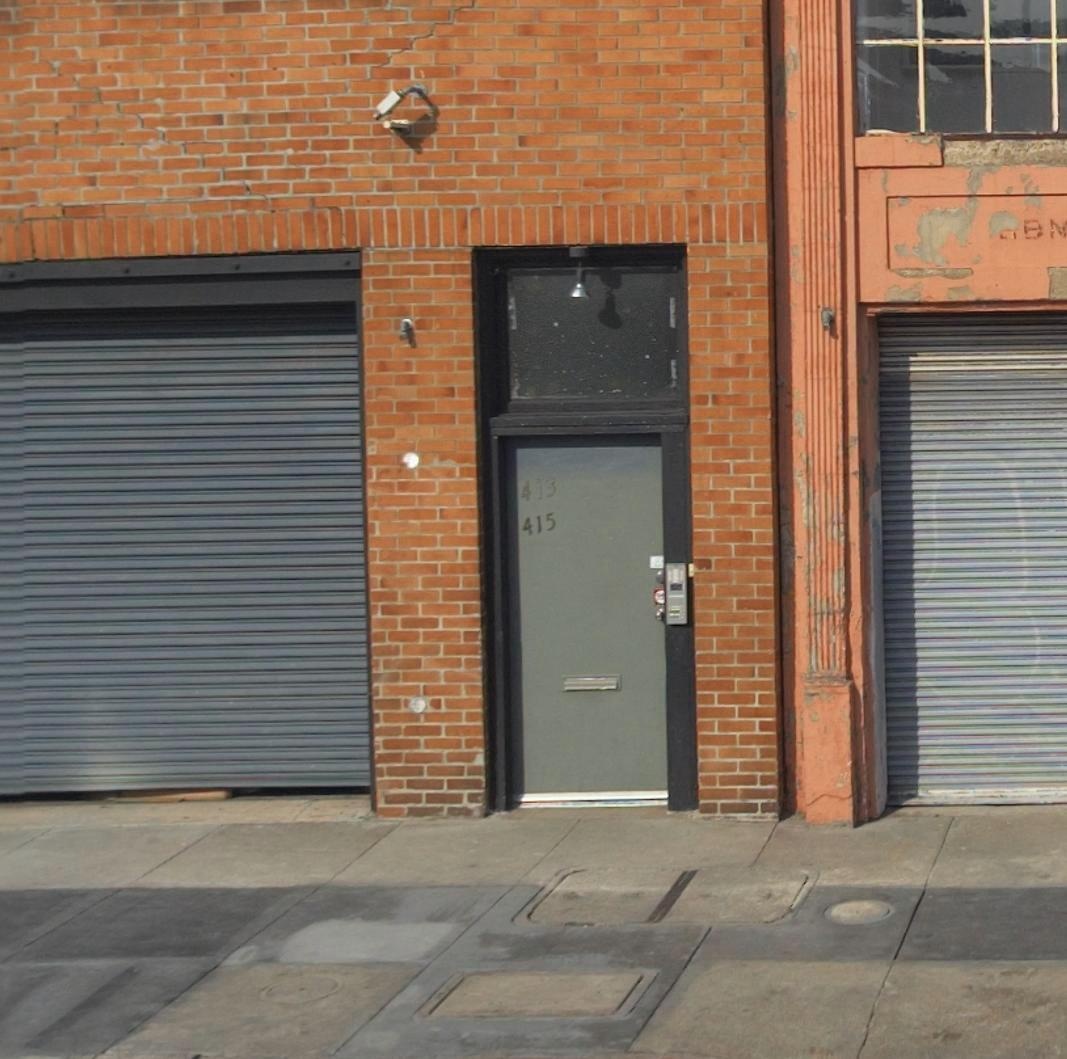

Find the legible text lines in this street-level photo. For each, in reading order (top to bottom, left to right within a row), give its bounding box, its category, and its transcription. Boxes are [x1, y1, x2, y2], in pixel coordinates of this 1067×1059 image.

[1023, 217, 1066, 241] None: BN
[519, 474, 556, 502] StreetNumber: 413
[521, 510, 558, 537] StreetNumber: 415